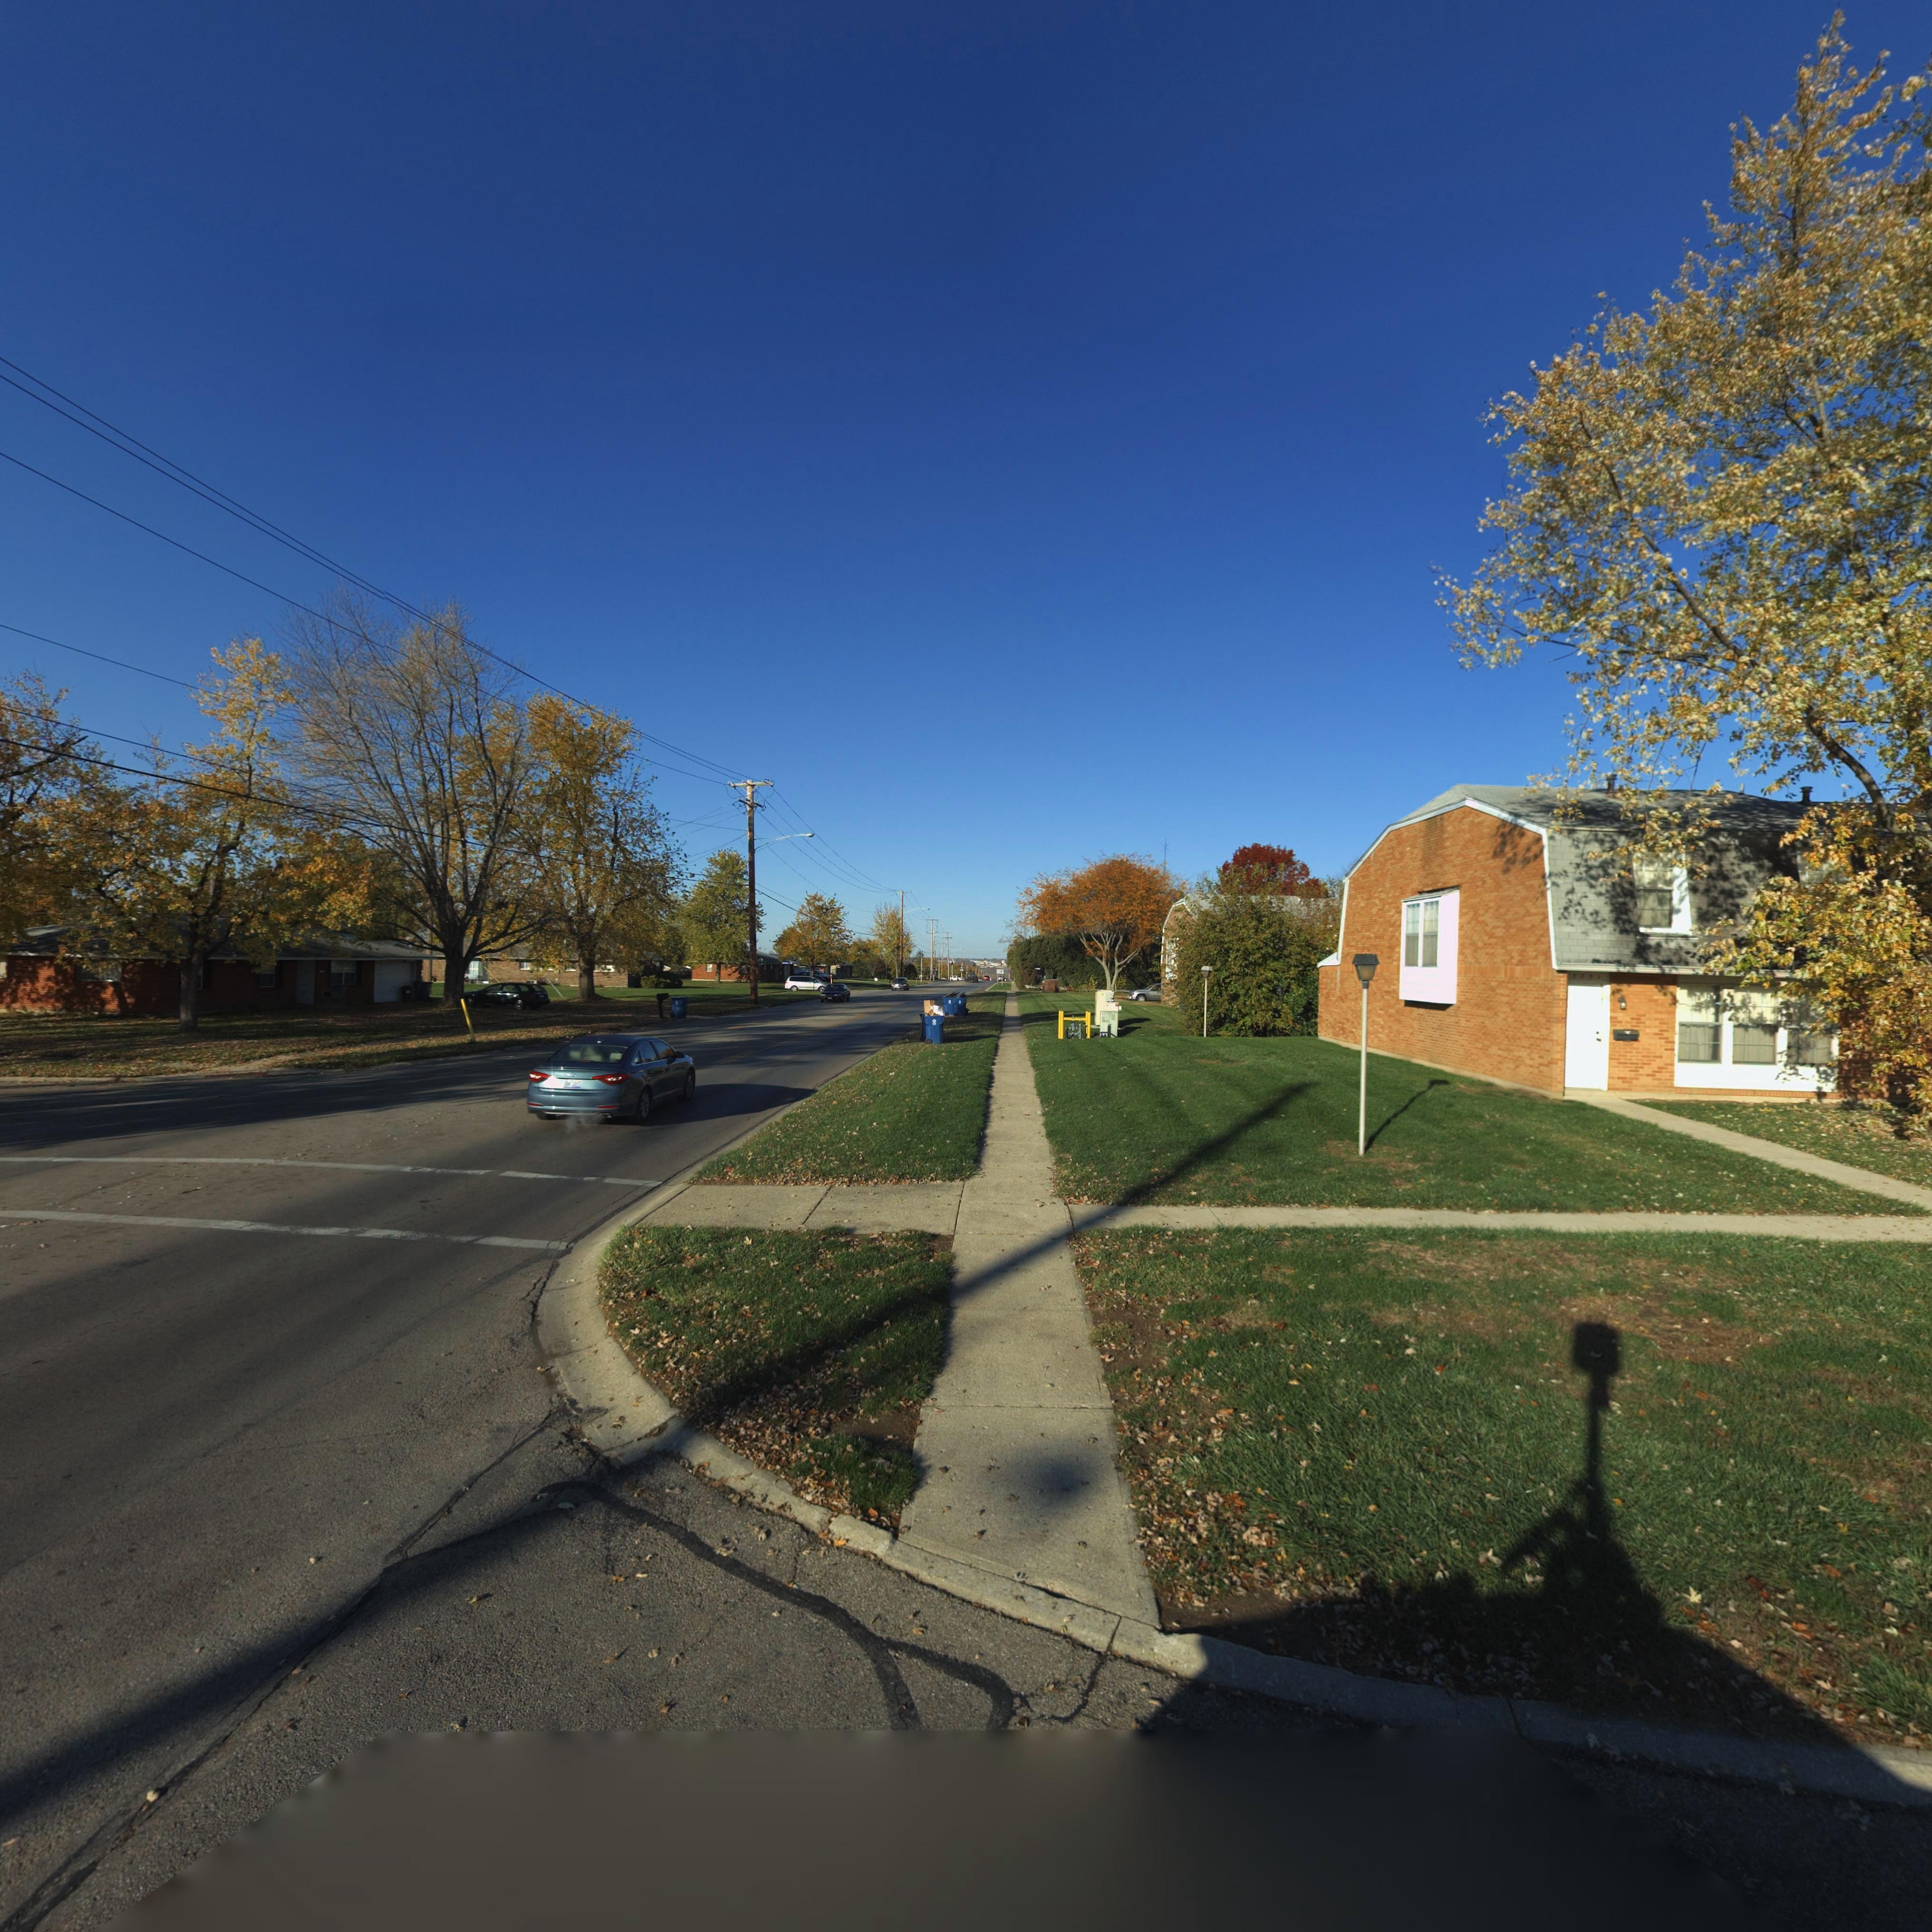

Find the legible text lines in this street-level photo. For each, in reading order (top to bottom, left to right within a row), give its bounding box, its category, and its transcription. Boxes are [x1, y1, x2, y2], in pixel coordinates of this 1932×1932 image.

[1571, 972, 1602, 981] StreetNumber: *8*1